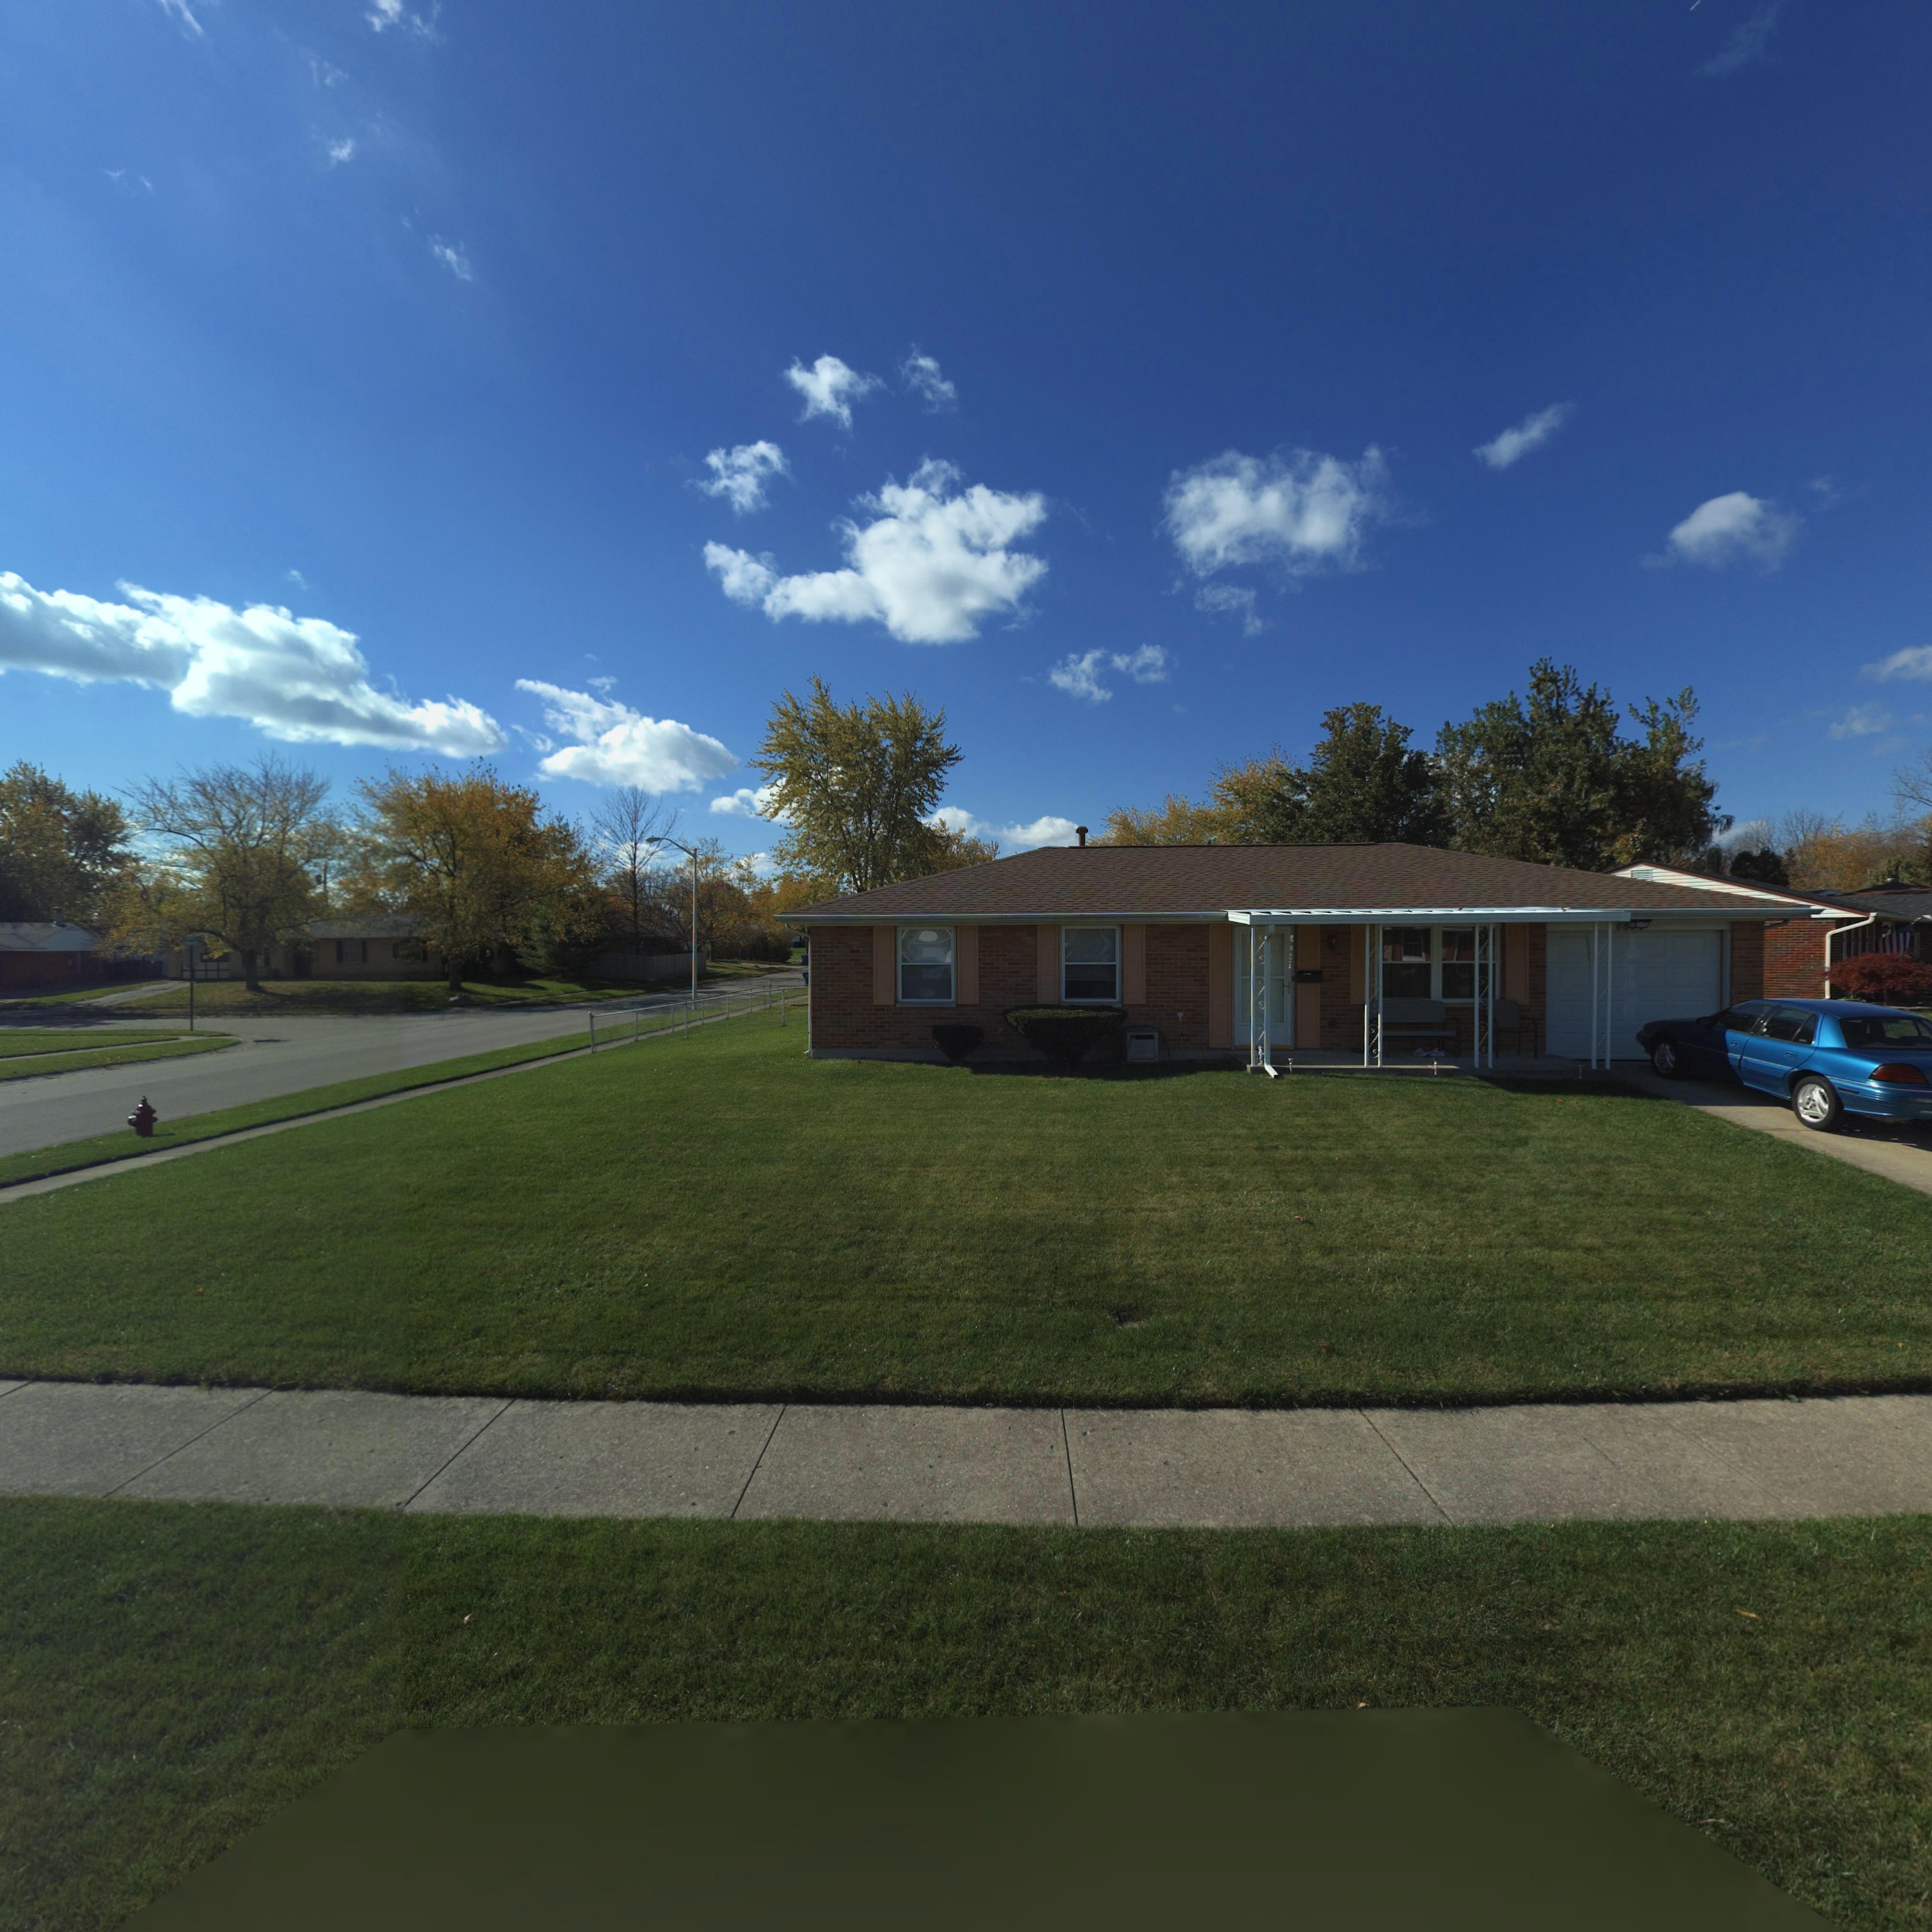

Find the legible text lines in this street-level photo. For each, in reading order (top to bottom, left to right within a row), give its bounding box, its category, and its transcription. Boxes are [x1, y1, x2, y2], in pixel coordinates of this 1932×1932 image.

[1615, 922, 1629, 930] StreetNumber: 66